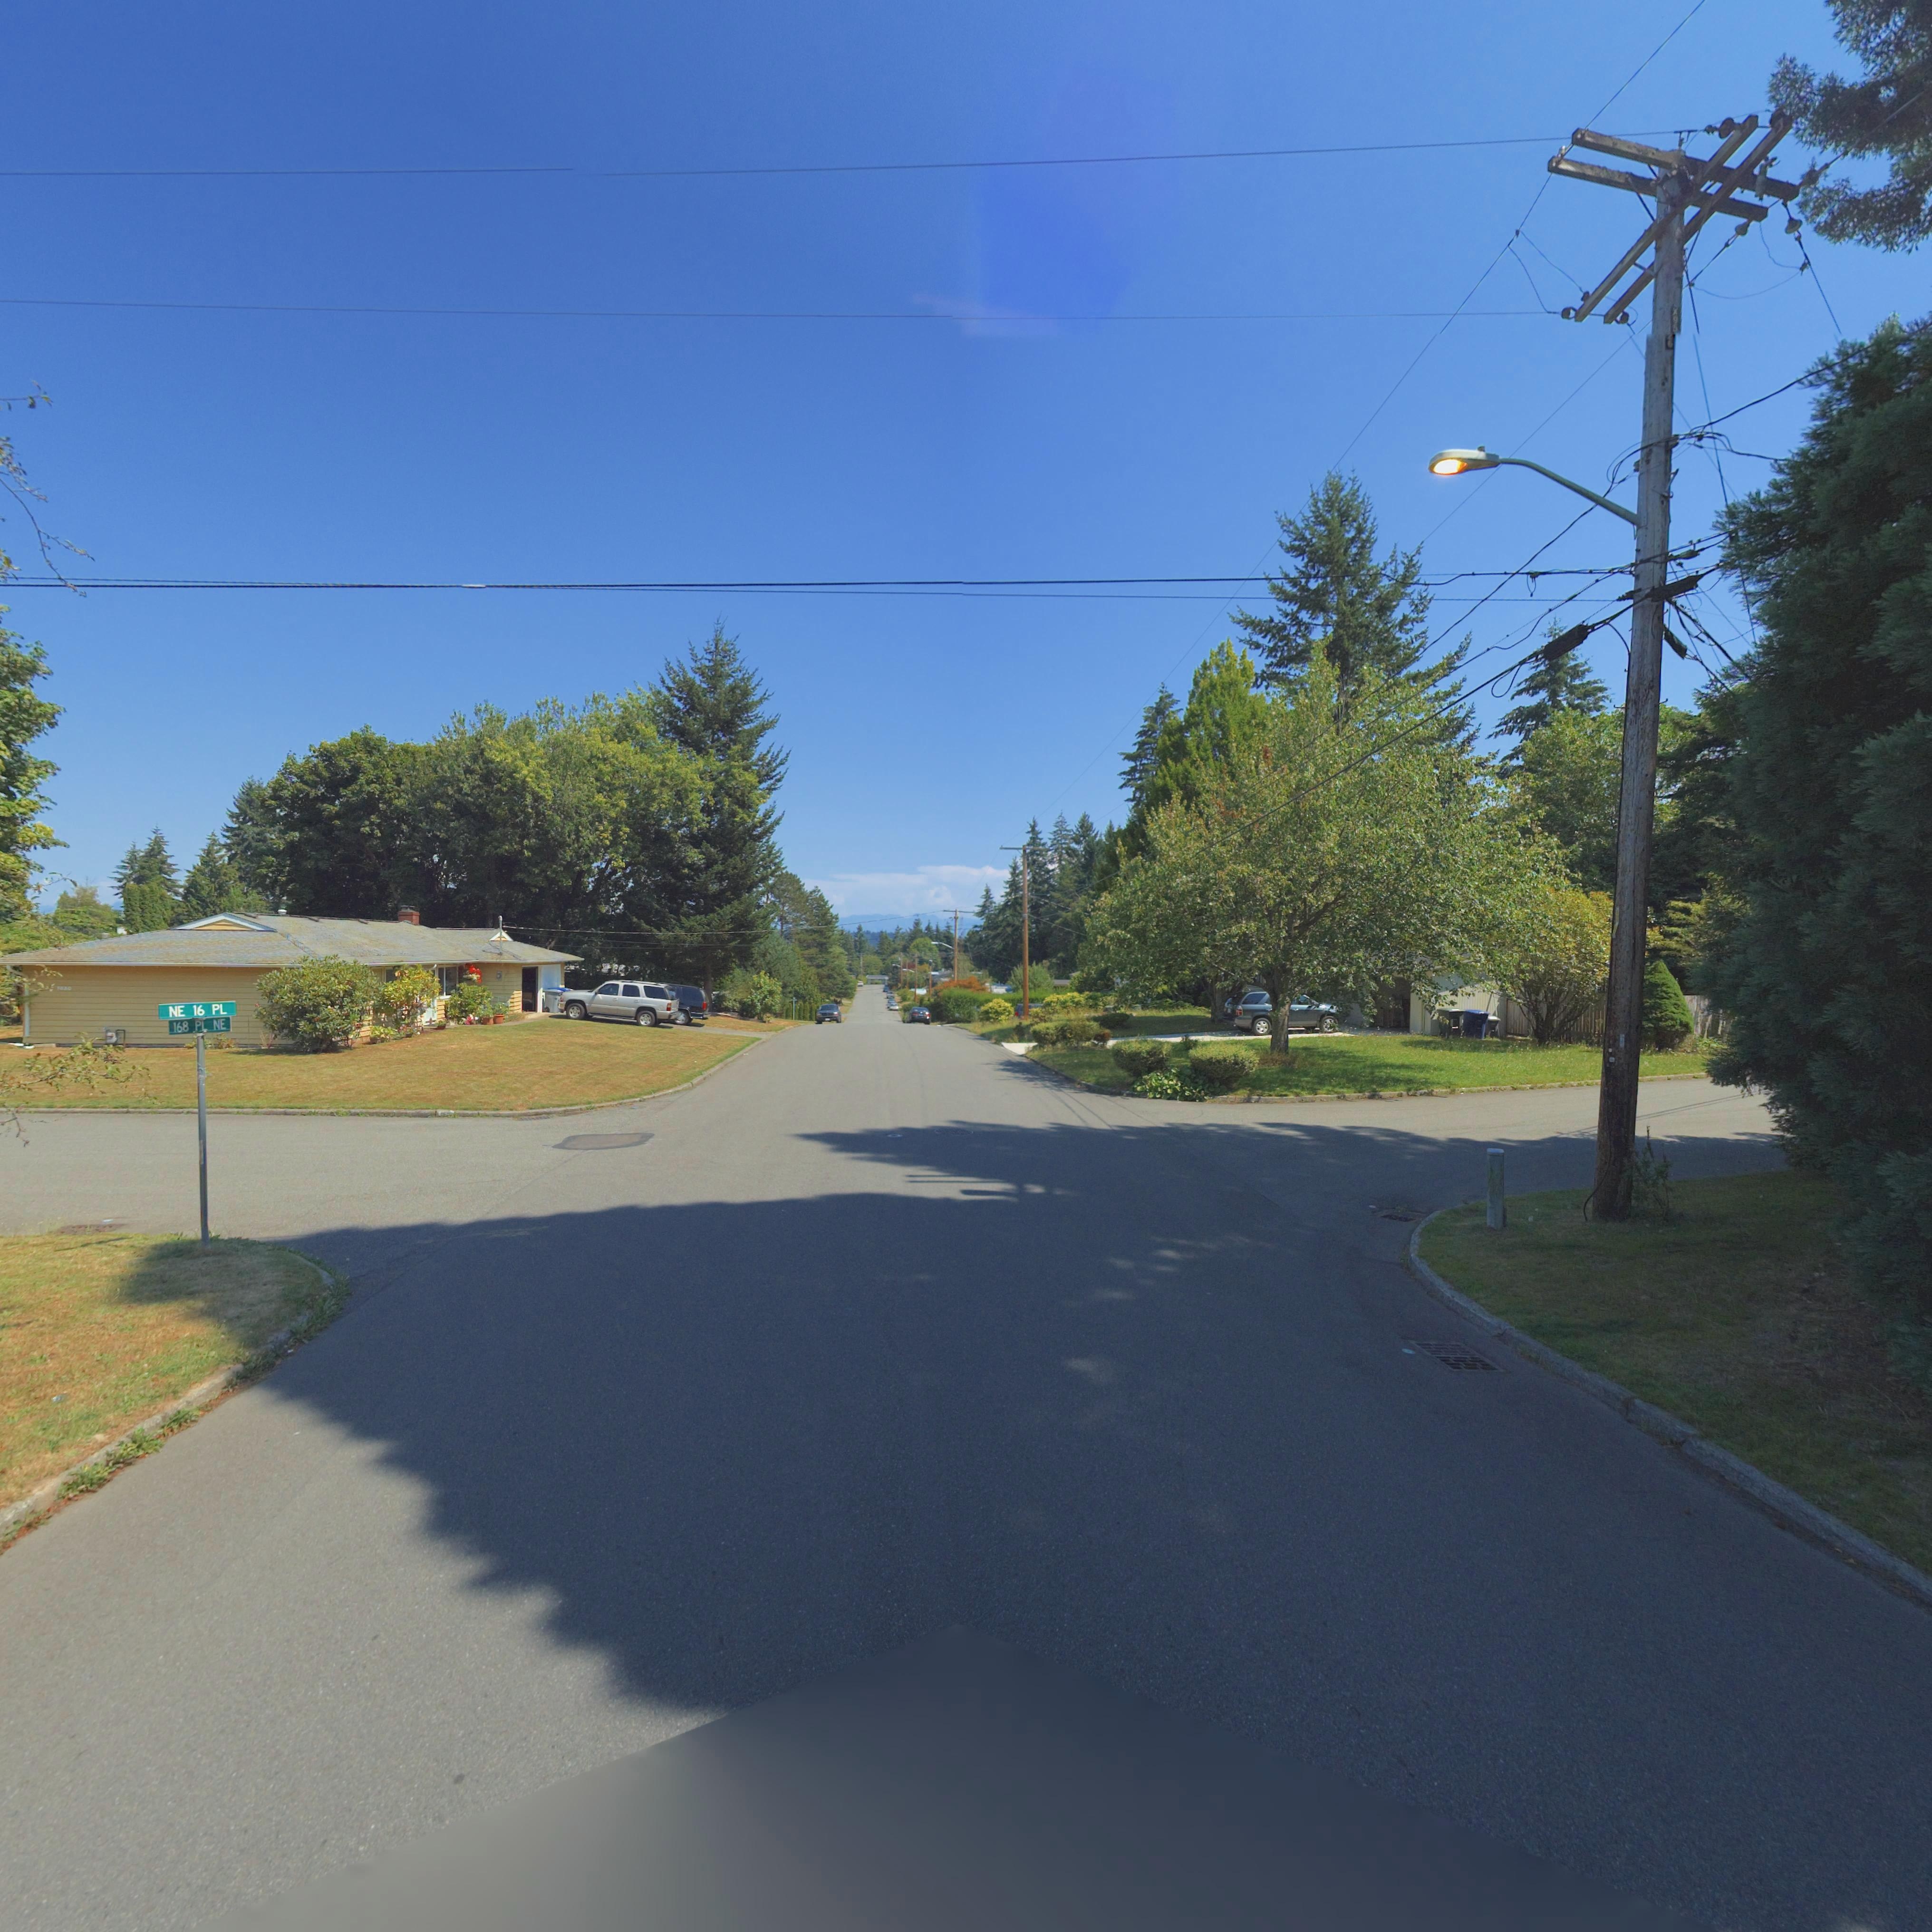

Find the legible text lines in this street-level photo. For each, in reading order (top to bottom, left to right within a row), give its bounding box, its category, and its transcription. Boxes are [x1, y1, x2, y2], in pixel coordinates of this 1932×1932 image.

[168, 1003, 228, 1018] StreetName: NE 16 PL
[173, 1018, 226, 1033] StreetName: 168 PL NE